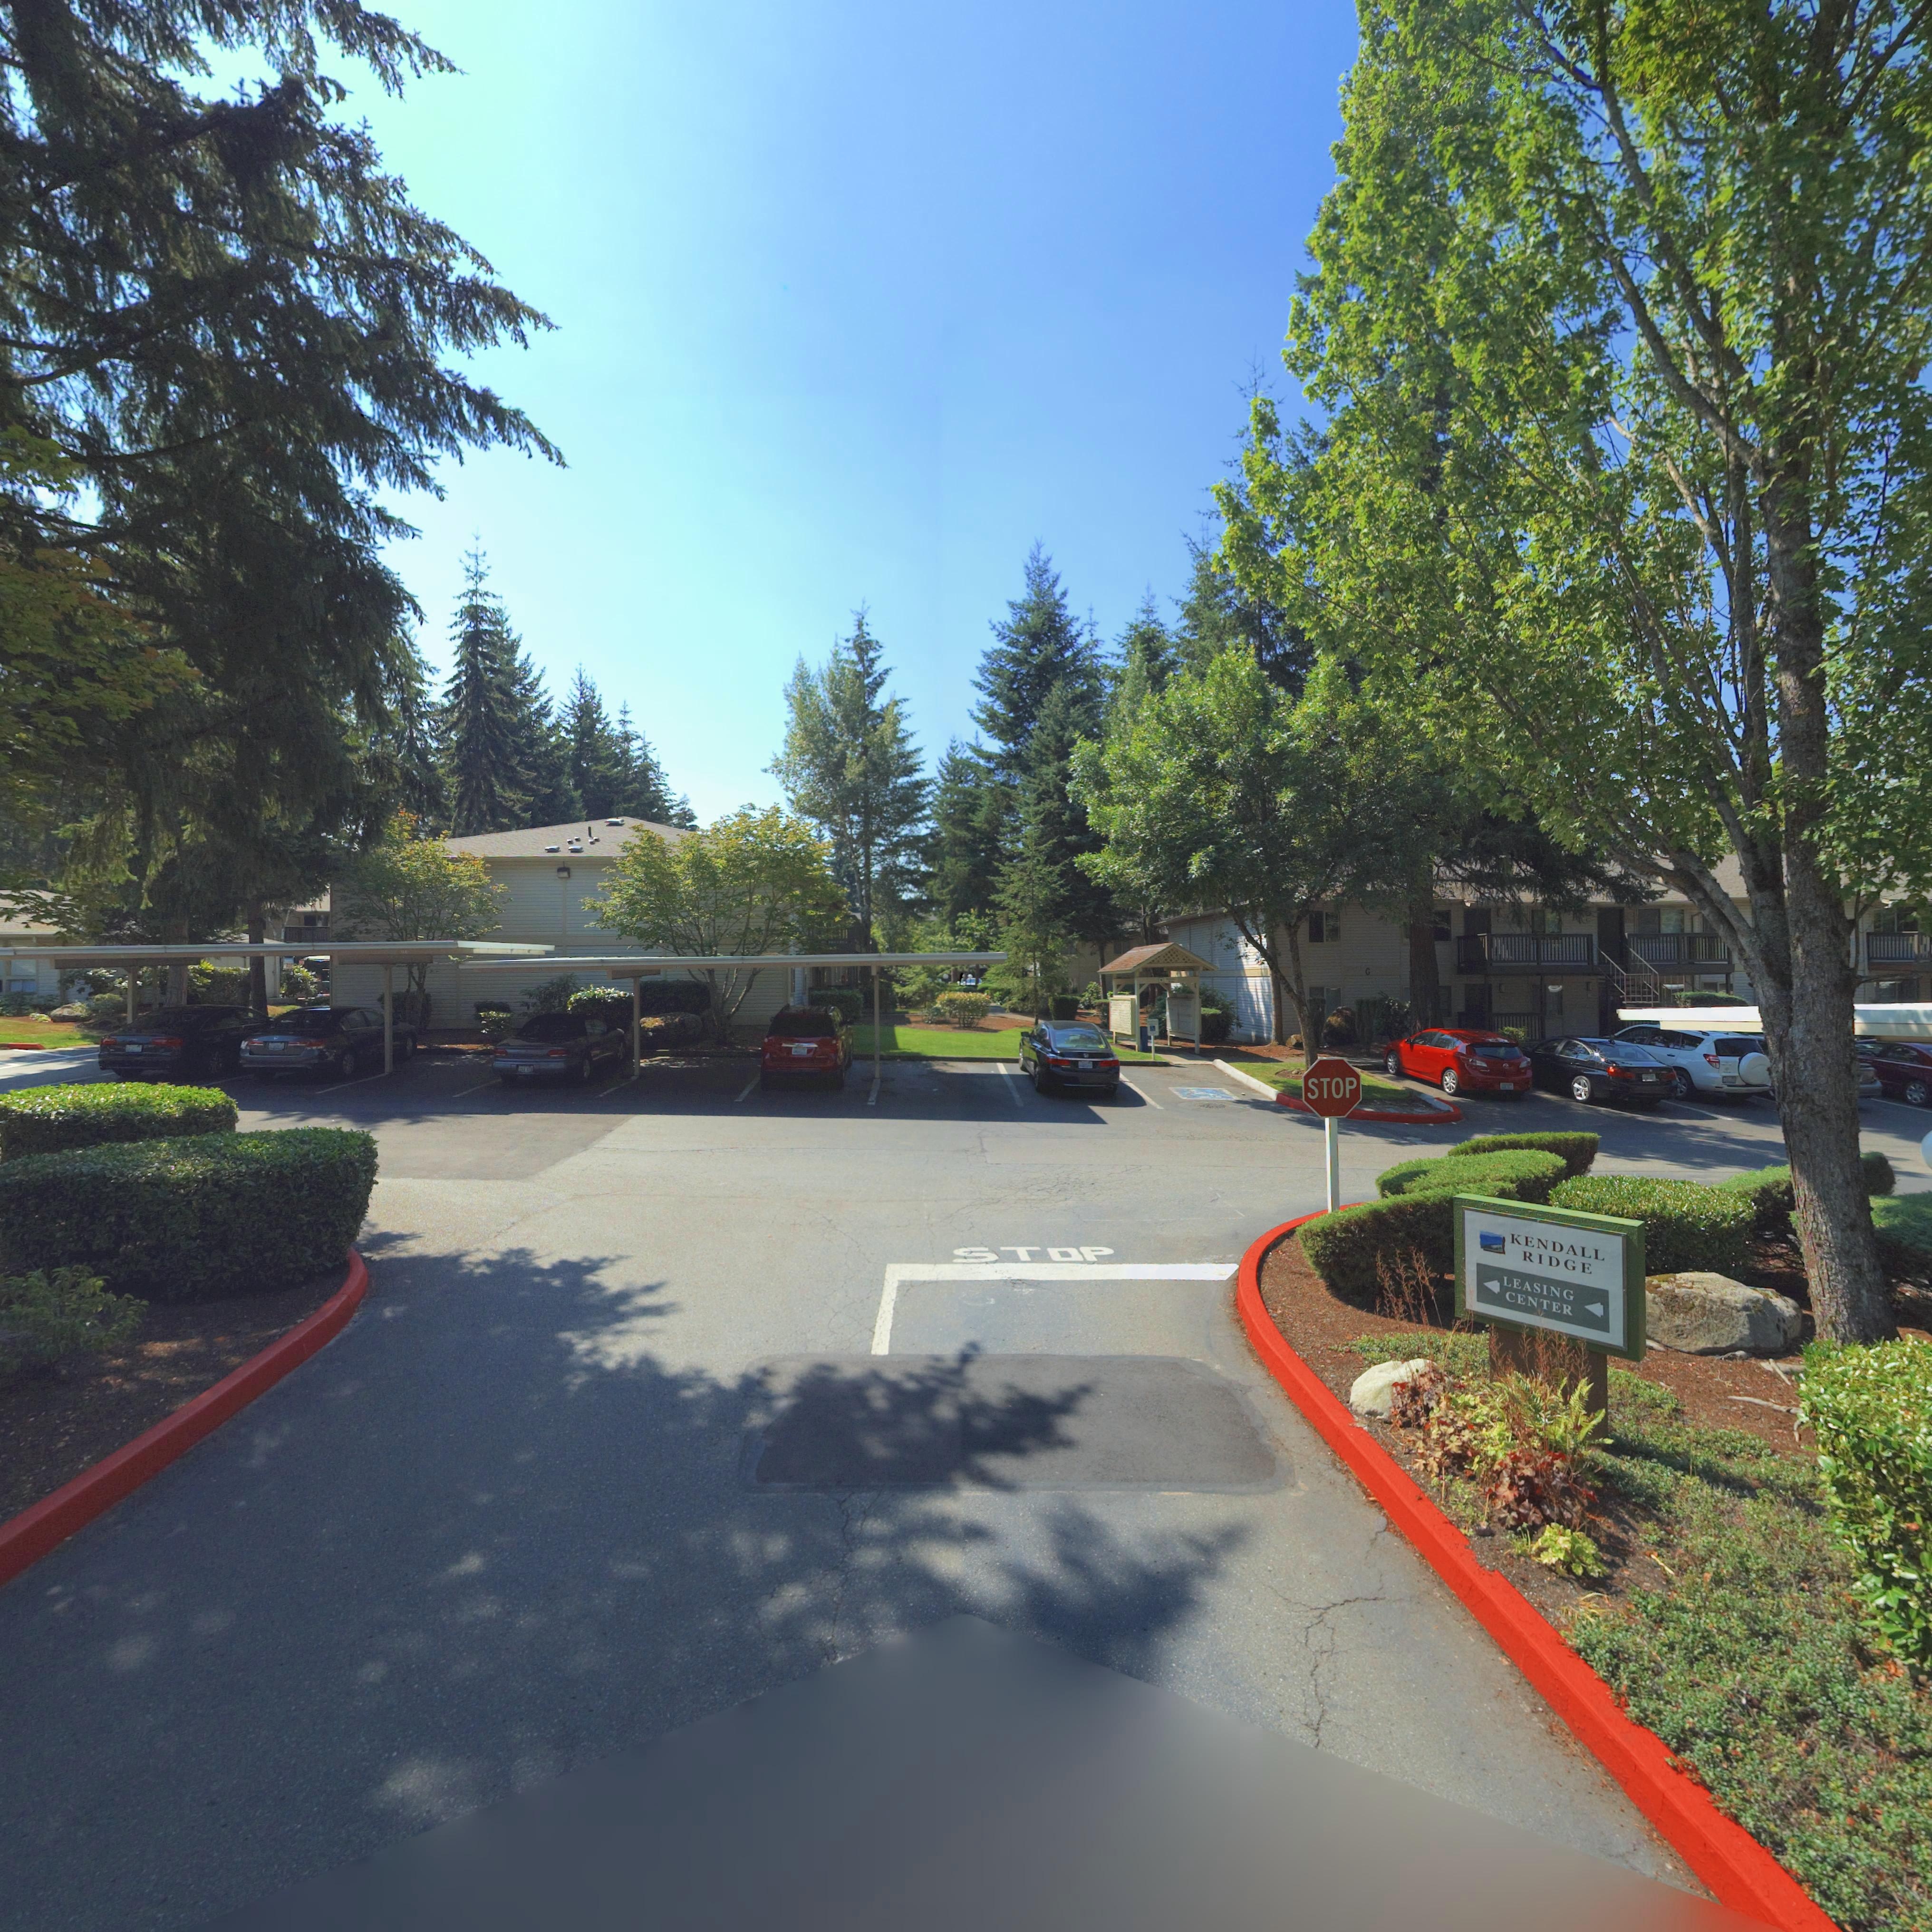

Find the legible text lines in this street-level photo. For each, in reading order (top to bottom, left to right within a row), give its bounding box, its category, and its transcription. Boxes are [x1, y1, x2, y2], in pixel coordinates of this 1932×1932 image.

[1509, 1232, 1607, 1263] BusinessName: KENDALL
[1520, 1250, 1594, 1275] BusinessName: RIDGE
[1501, 1274, 1574, 1301] BusinessName: LEASING
[1504, 1289, 1574, 1317] BusinessName: CENTER